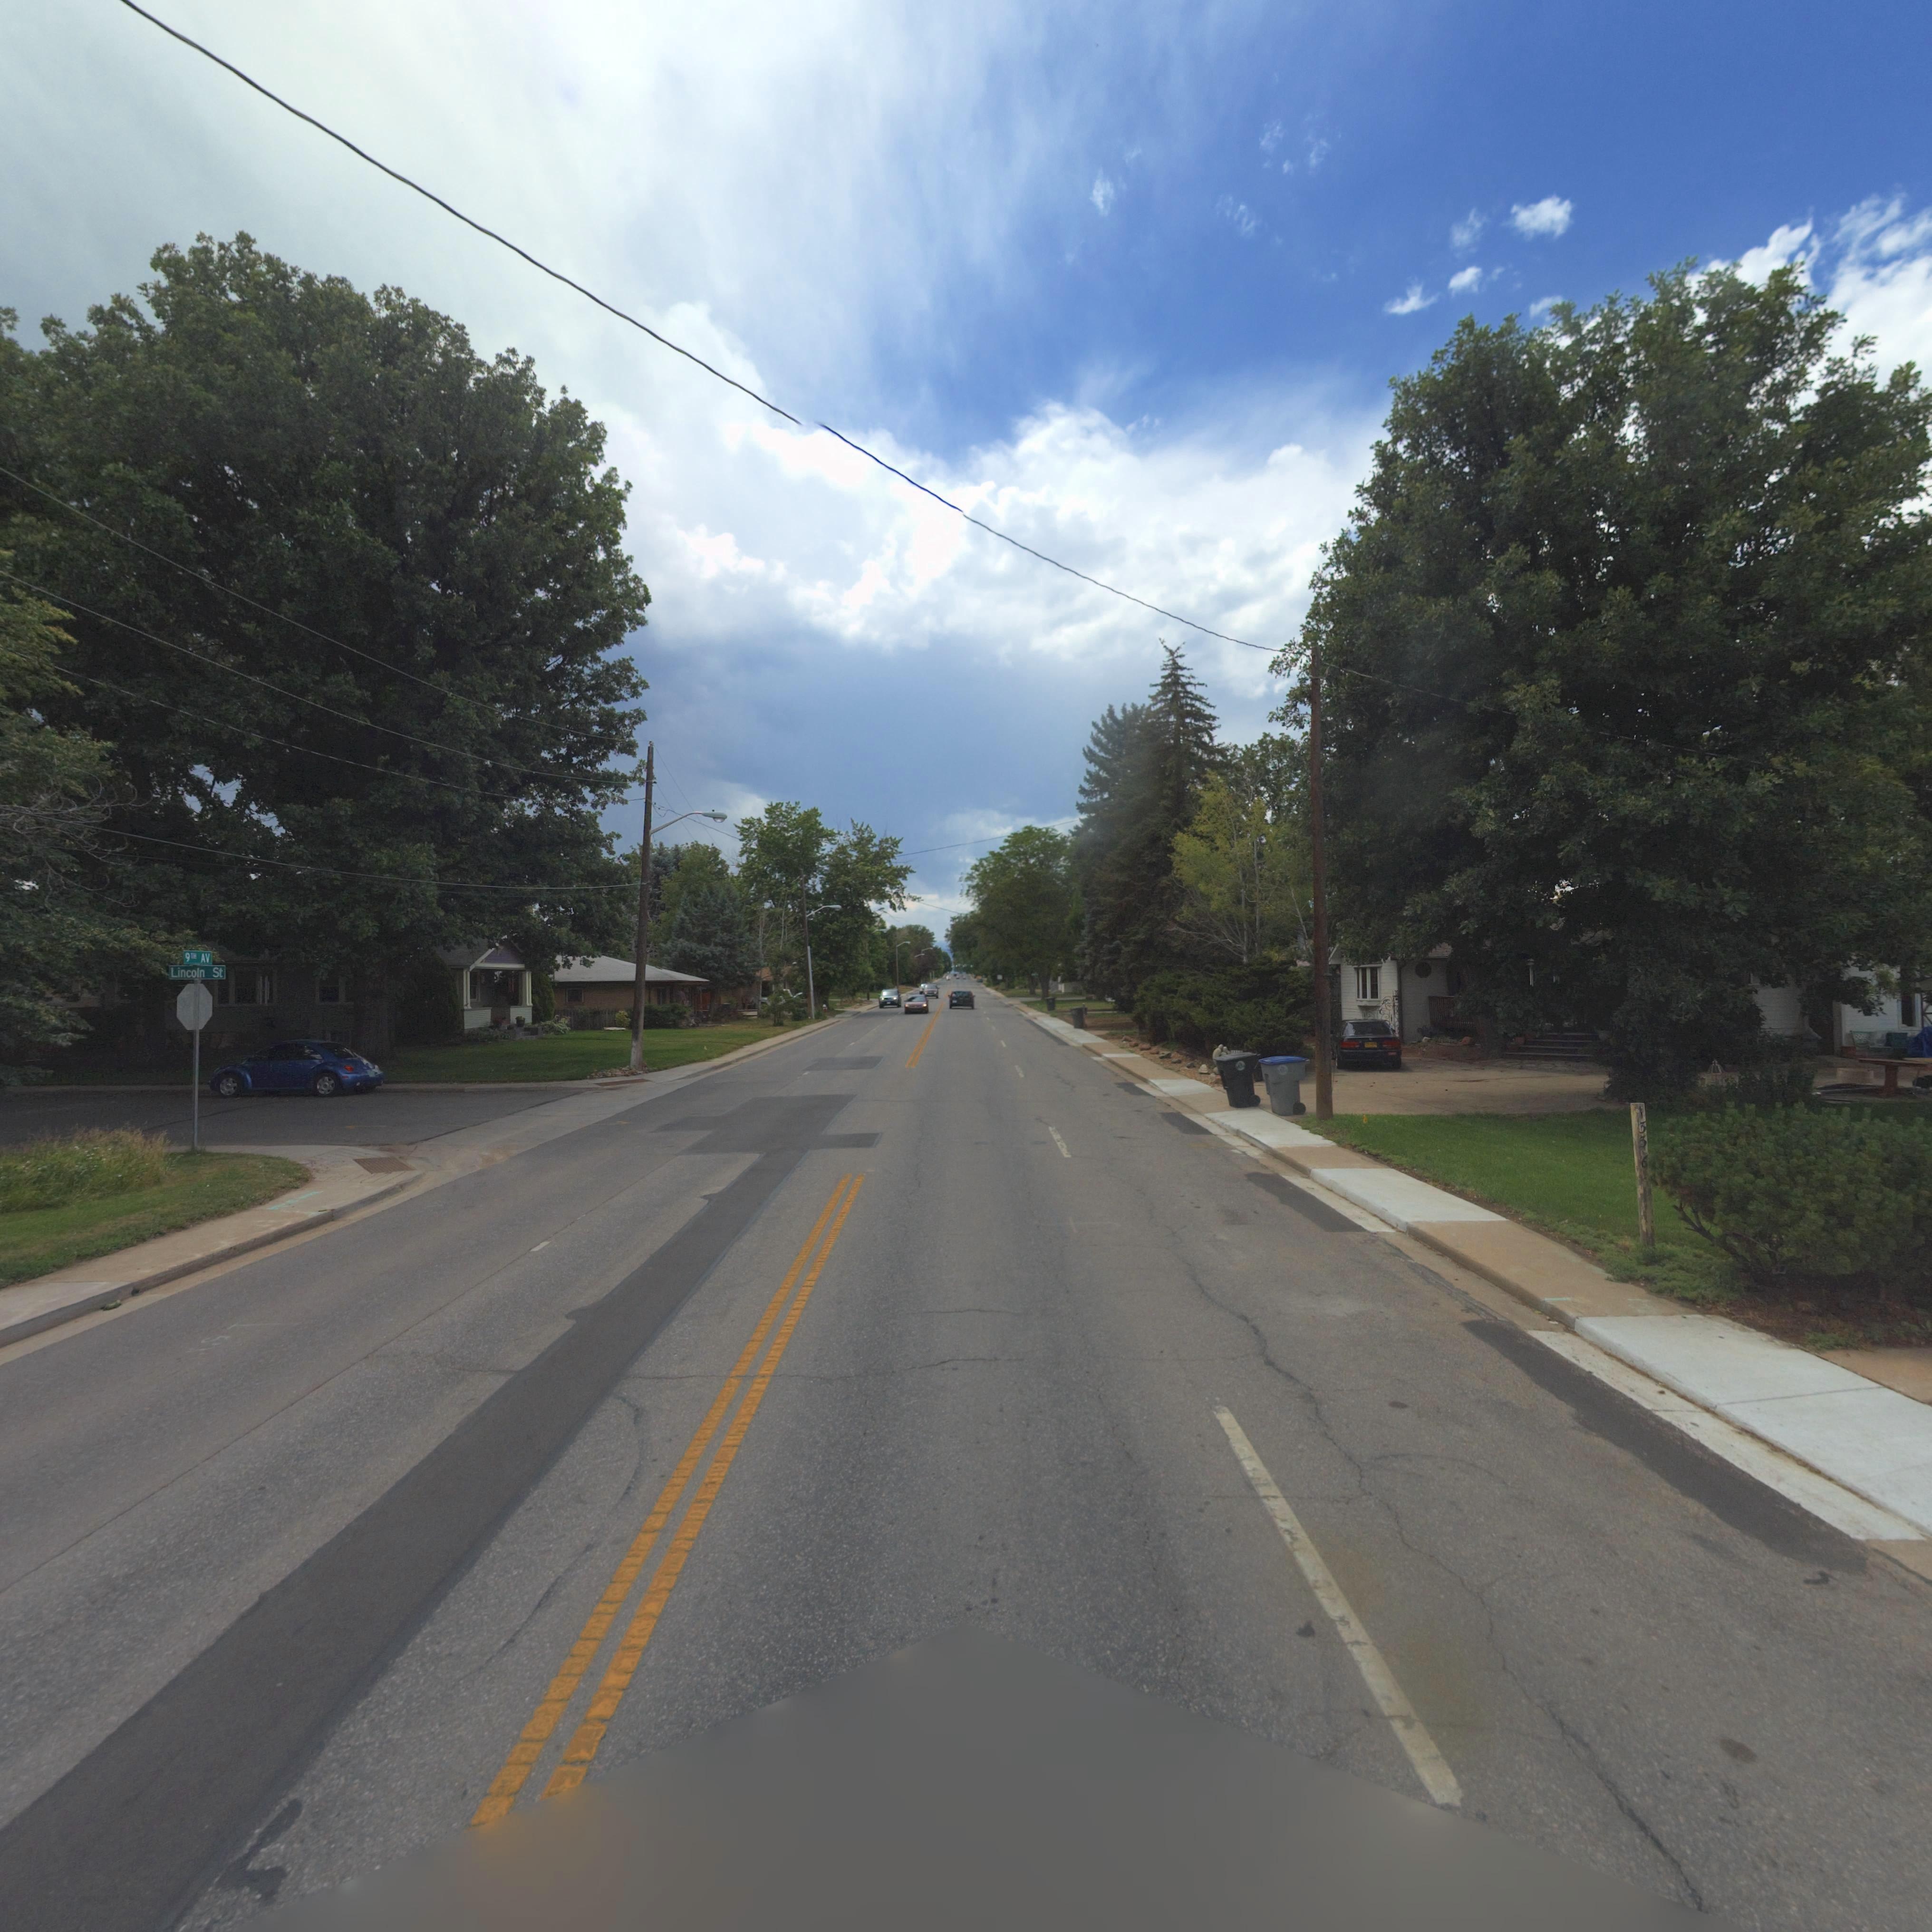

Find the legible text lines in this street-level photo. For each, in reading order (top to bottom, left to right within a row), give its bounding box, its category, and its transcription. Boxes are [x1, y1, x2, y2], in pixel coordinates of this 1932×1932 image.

[184, 952, 211, 963] StreetName: 9TH AV
[170, 966, 224, 978] StreetName: Lincoln St
[1635, 1106, 1649, 1170] StreetNumber: 1336